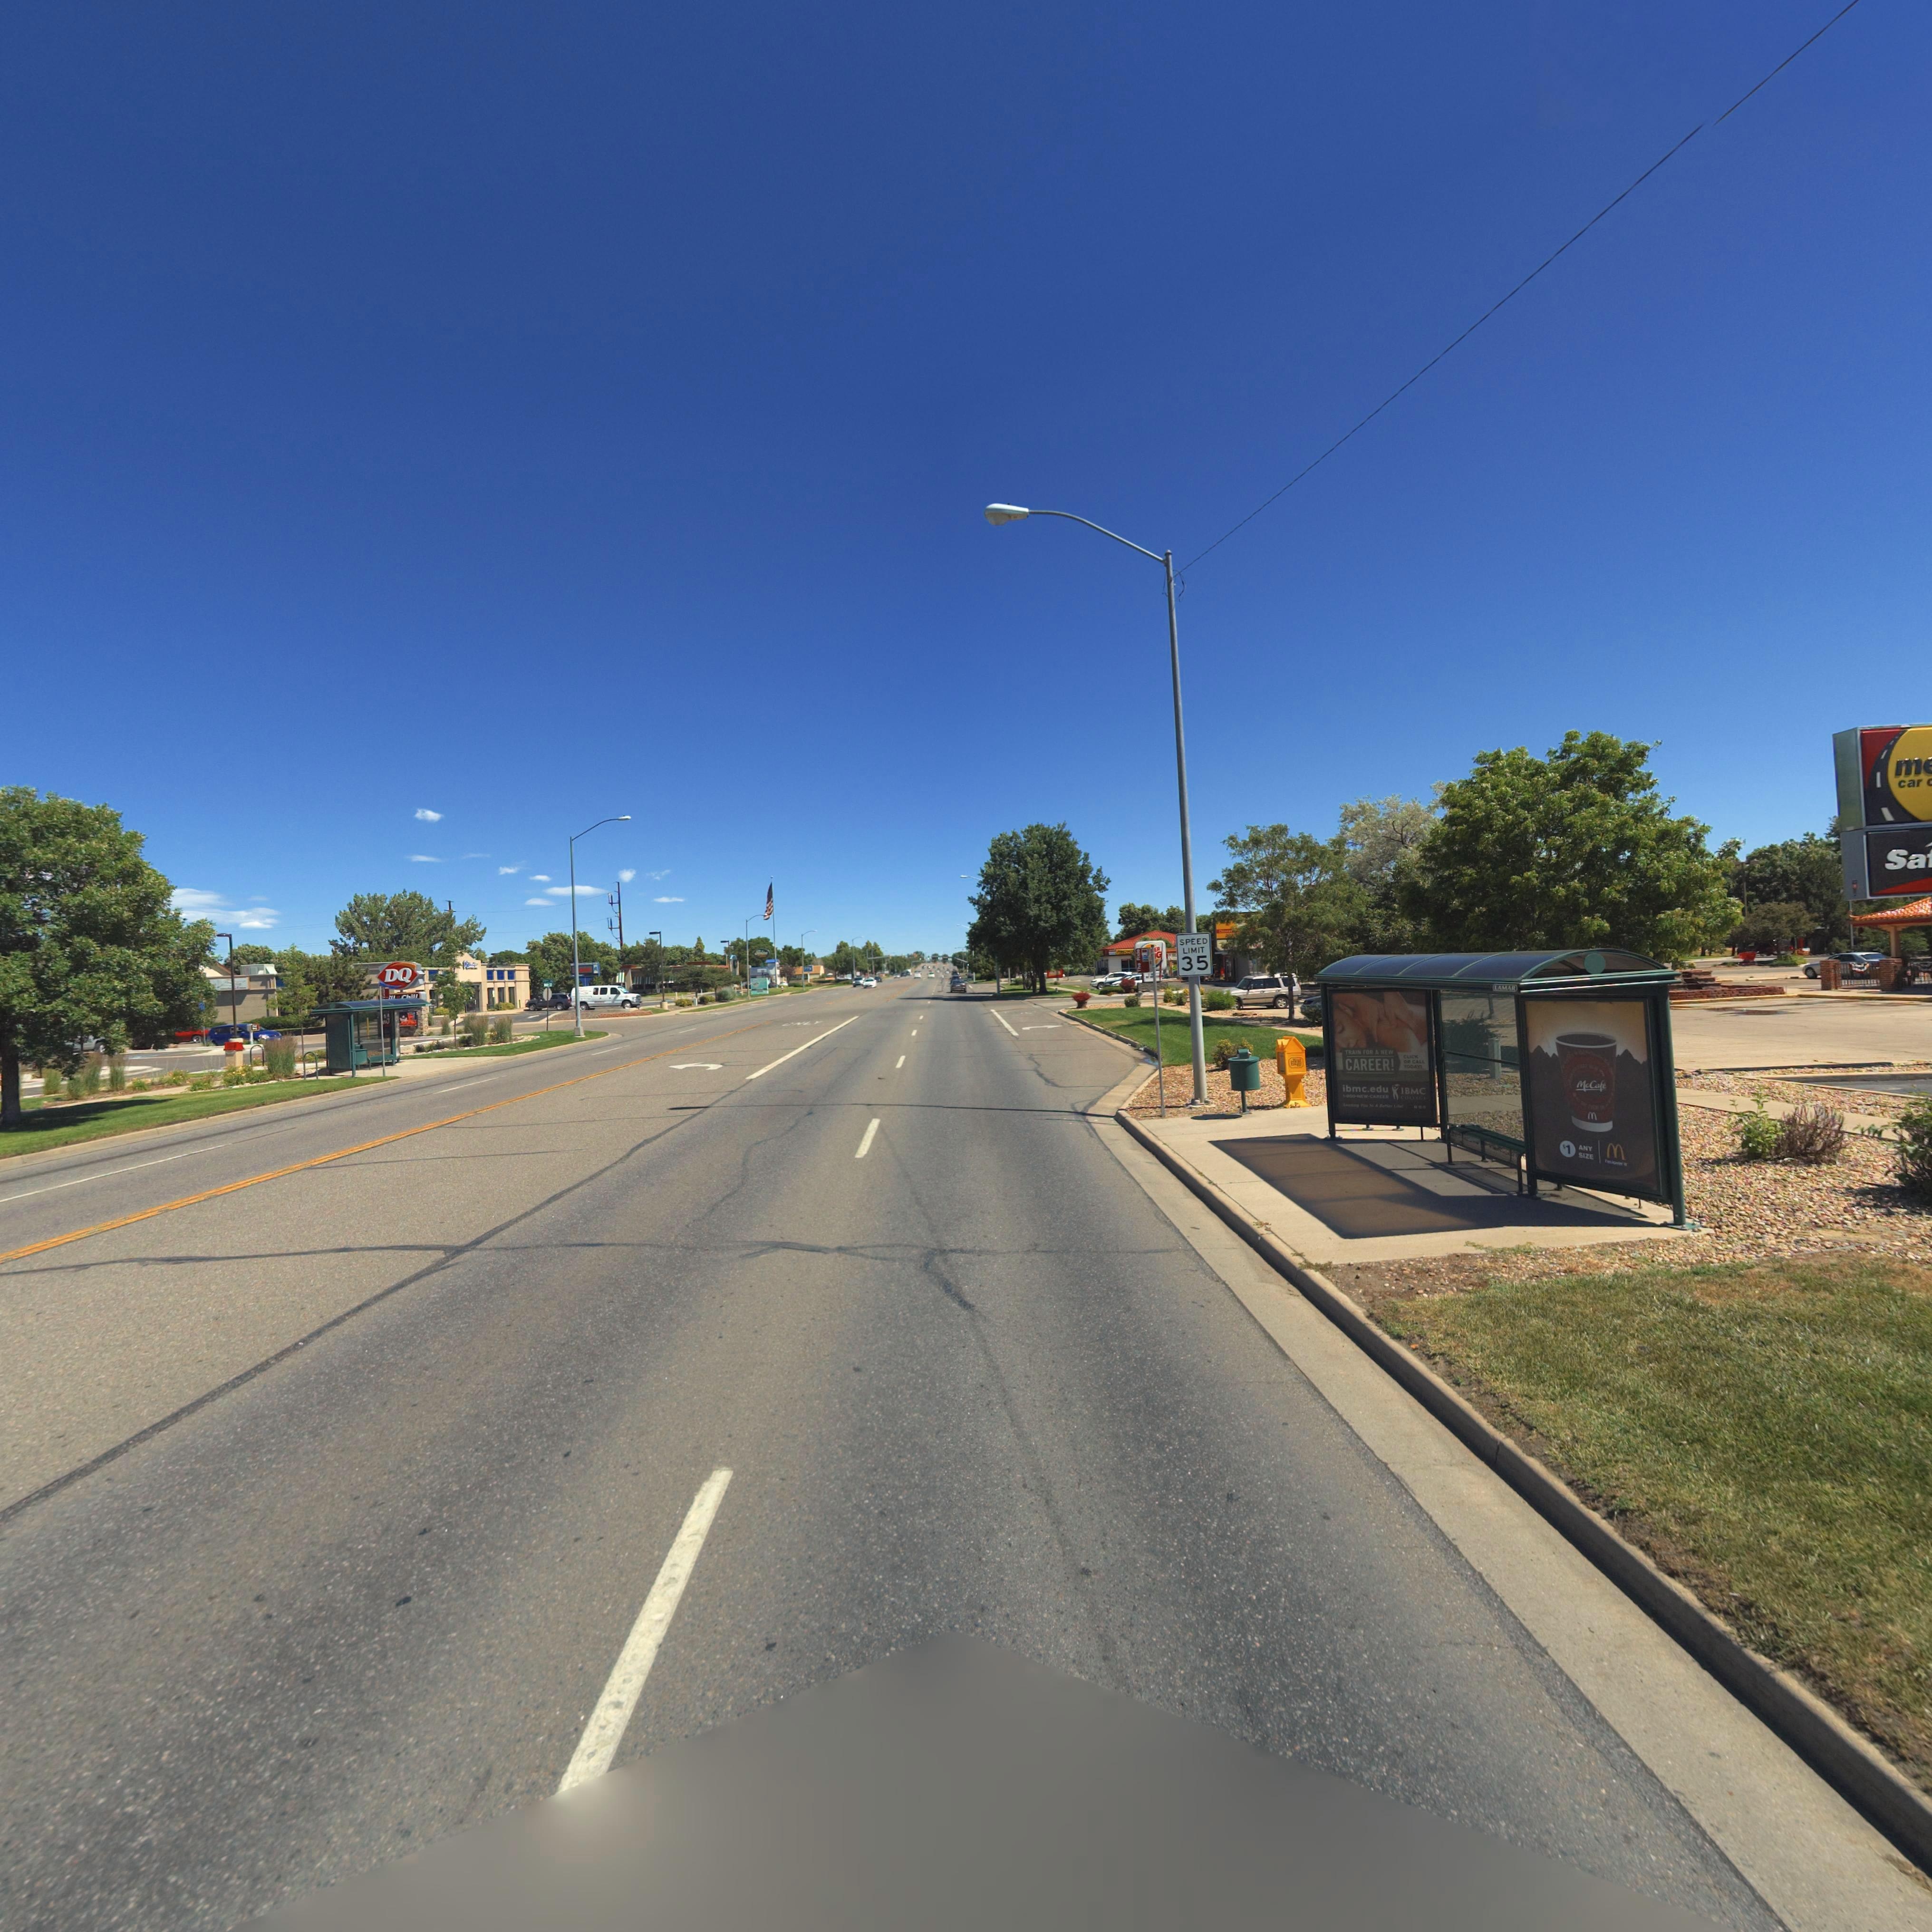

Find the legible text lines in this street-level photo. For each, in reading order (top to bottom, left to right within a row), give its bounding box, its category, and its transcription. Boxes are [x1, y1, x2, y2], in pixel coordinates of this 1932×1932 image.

[1894, 756, 1923, 776] BusinessName: m
[1897, 778, 1923, 789] BusinessName: car
[1883, 848, 1927, 870] BusinessName: Sa
[753, 949, 768, 955] BusinessName: P******
[1154, 946, 1160, 952] BusinessName: ER
[1156, 951, 1162, 958] BusinessName: G
[383, 966, 413, 983] BusinessName: DQ